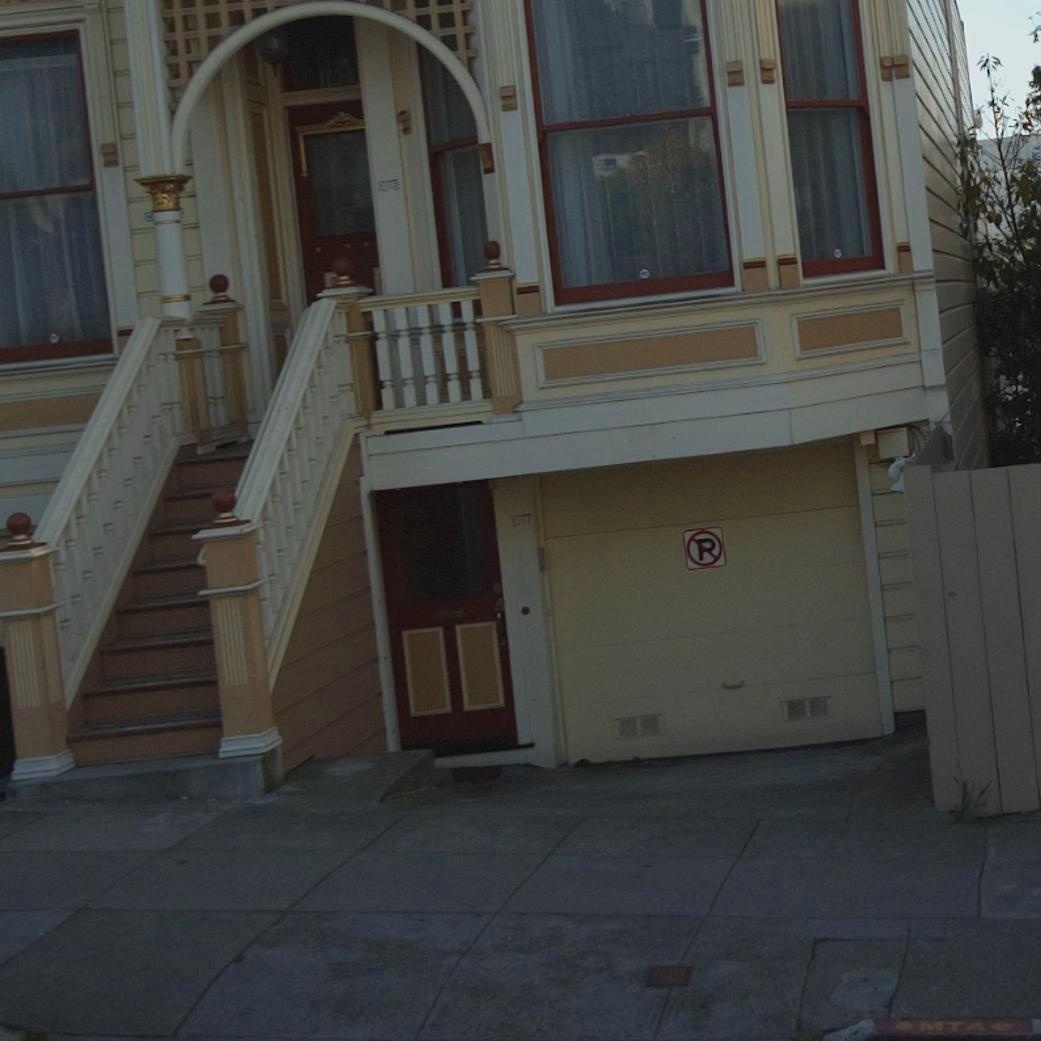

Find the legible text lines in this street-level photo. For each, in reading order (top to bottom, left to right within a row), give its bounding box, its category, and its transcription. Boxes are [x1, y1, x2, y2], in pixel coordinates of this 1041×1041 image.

[374, 176, 402, 195] StreetNumber: 1075
[508, 510, 534, 528] StreetNumber: 1077